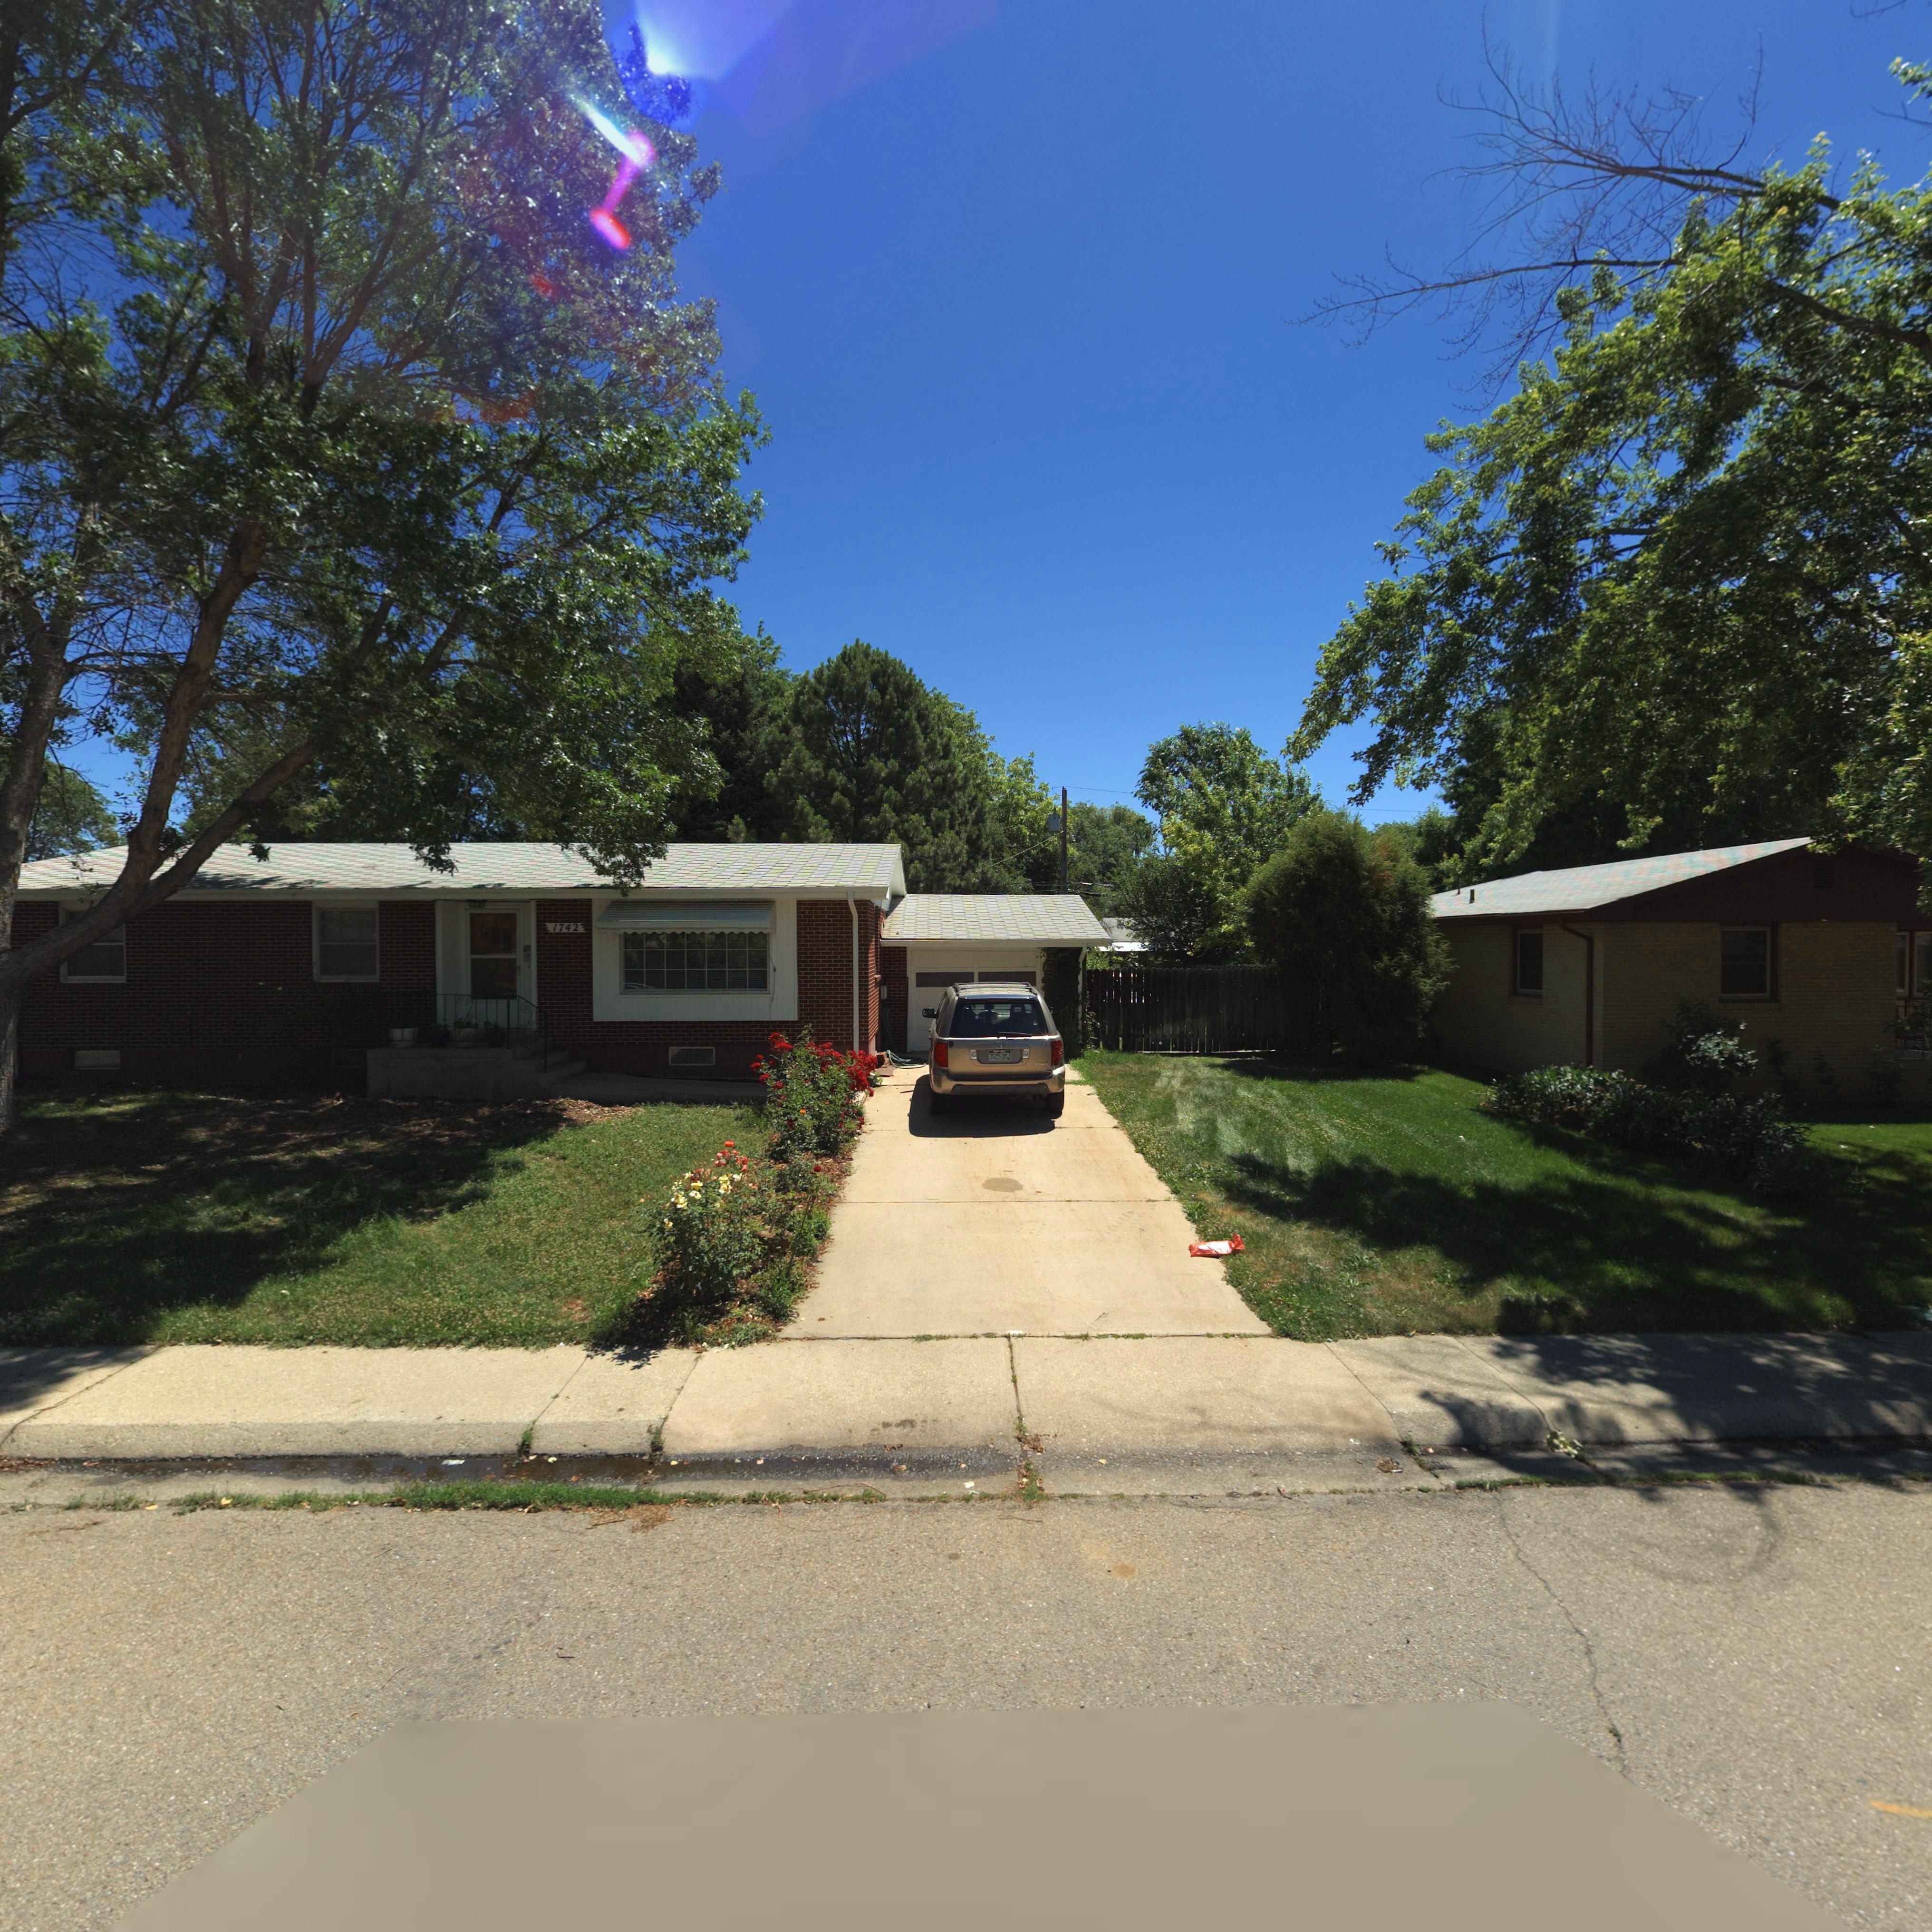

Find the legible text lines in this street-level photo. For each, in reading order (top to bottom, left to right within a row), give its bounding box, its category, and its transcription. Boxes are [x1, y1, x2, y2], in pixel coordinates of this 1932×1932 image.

[552, 923, 579, 932] StreetNumber: 1742